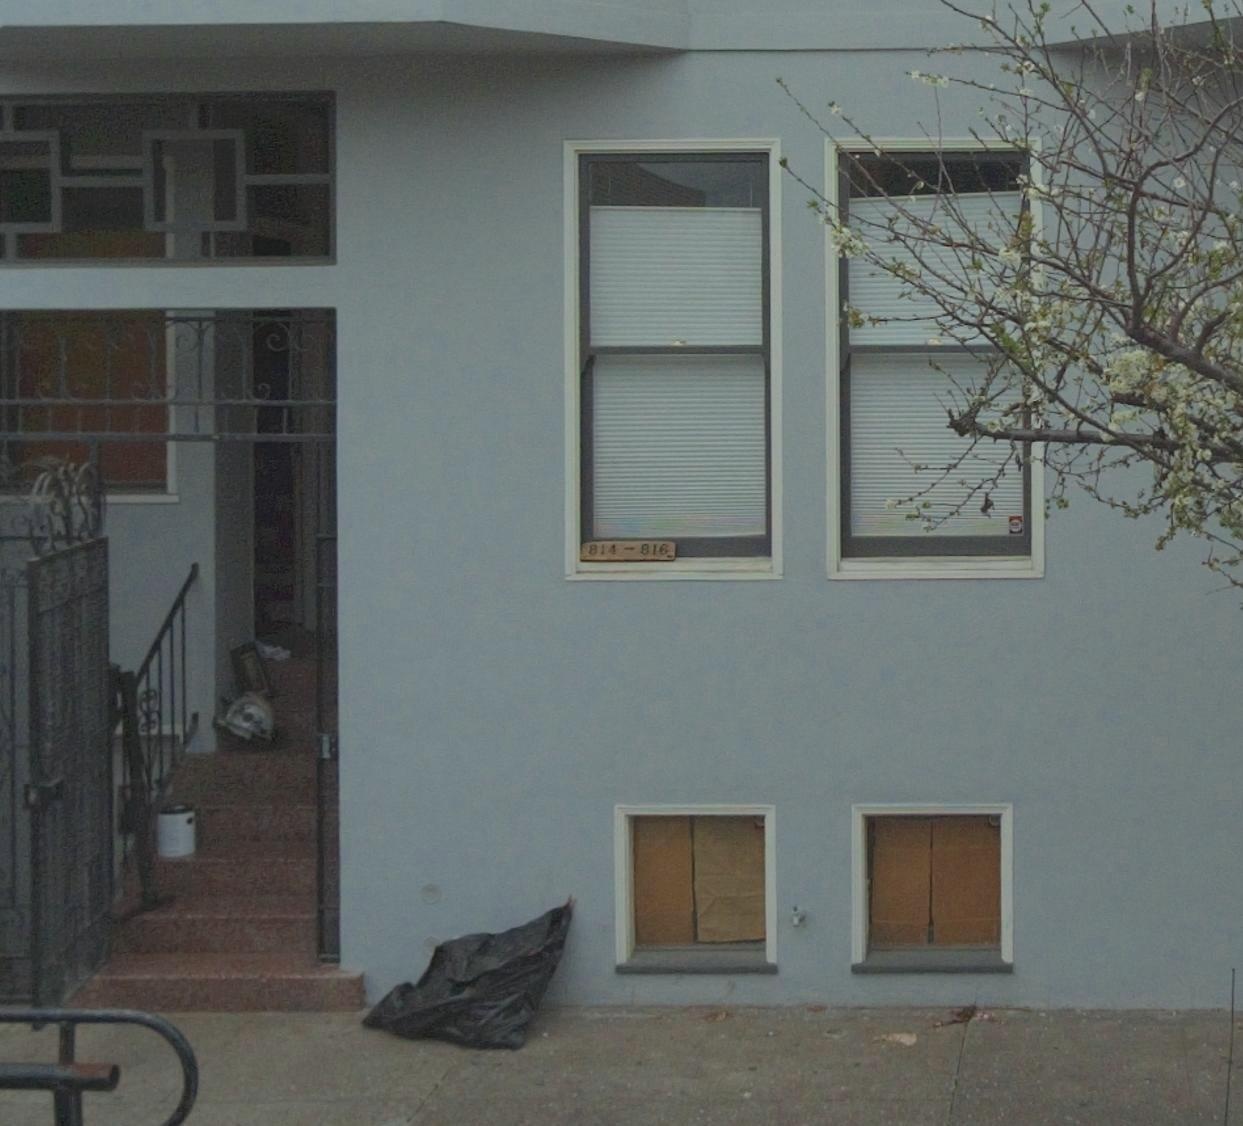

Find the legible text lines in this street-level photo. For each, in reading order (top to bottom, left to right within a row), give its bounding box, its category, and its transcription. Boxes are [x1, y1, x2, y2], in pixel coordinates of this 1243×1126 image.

[587, 541, 617, 558] StreetNumber: 814
[637, 541, 670, 558] StreetNumber: 816